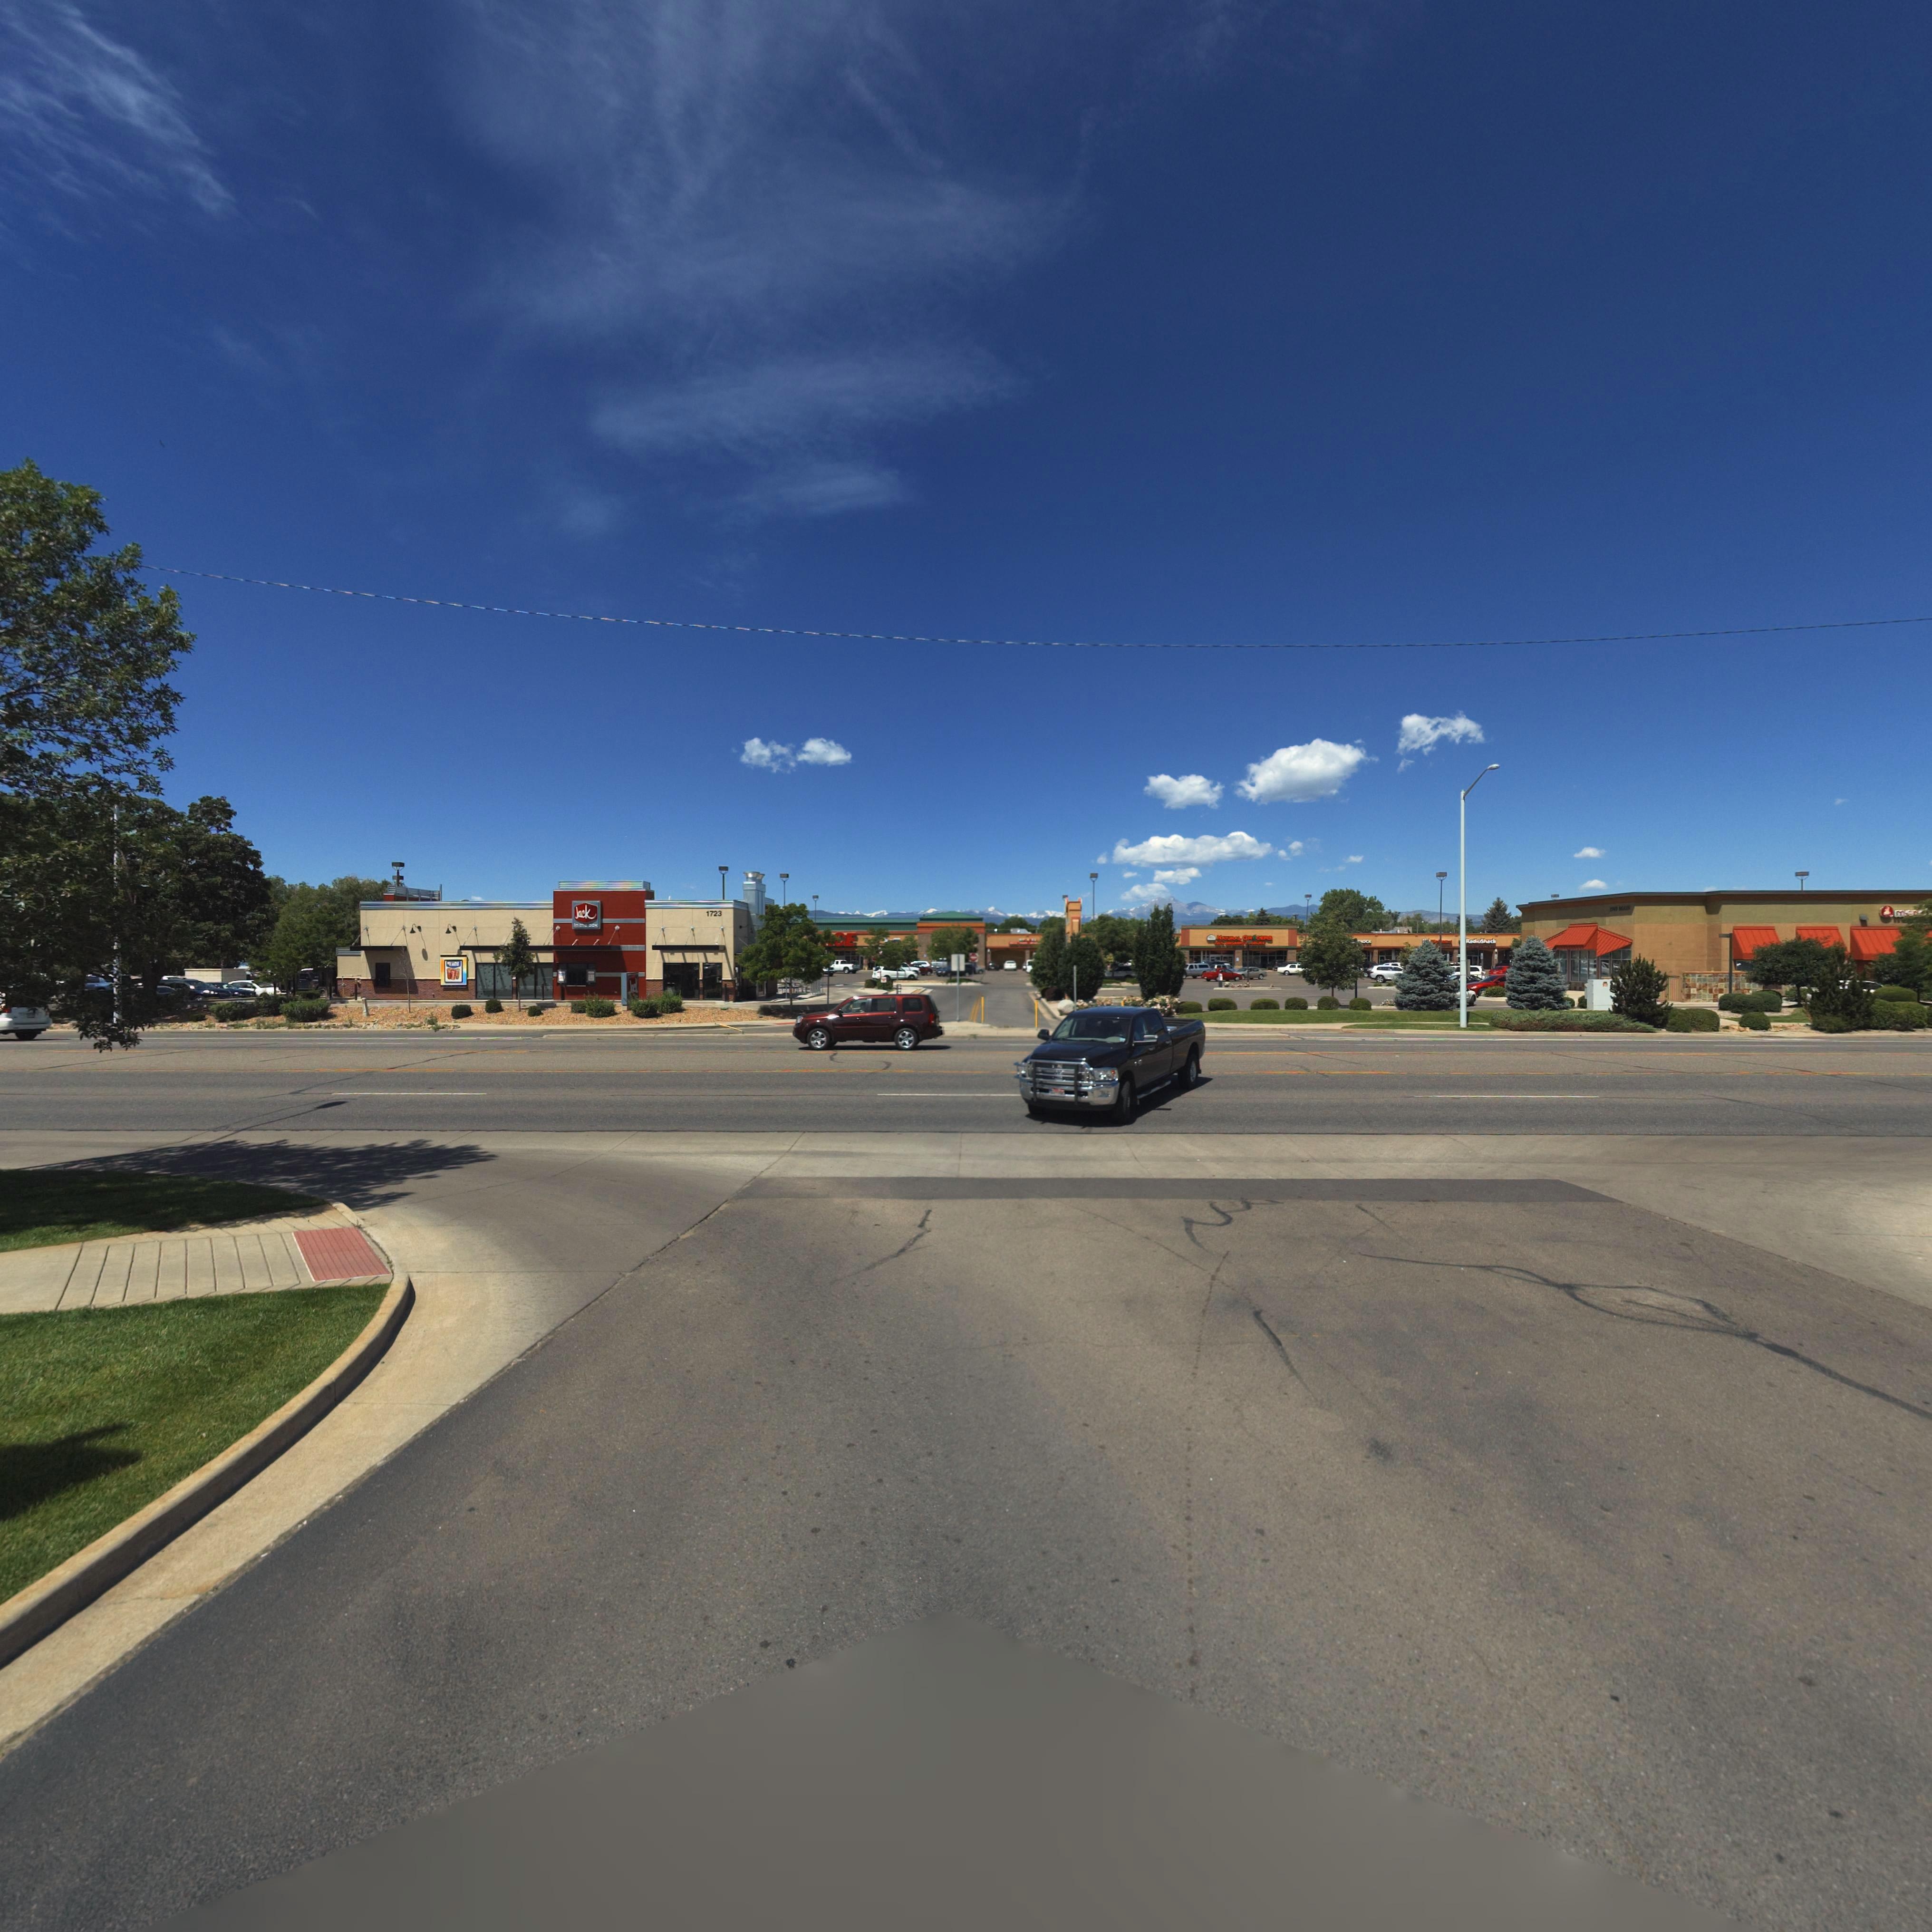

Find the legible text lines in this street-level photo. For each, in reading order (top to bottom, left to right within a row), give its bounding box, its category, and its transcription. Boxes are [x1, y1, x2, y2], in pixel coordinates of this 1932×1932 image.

[574, 904, 596, 919] BusinessName: Jack
[705, 910, 722, 917] StreetNumber: 1723
[1609, 906, 1618, 912] StreetNumber: 1***
[1618, 904, 1630, 911] StreetName: *A**
[1894, 909, 1919, 917] BusinessName: m**
[573, 922, 598, 927] BusinessName: ** ** *o*
[833, 932, 857, 947] BusinessName: *E
[1217, 935, 1273, 940] BusinessName: NATUR*L G**C*RS
[1360, 939, 1372, 943] BusinessName: **CK
[1465, 937, 1496, 943] BusinessName: R*d**Sh*c*